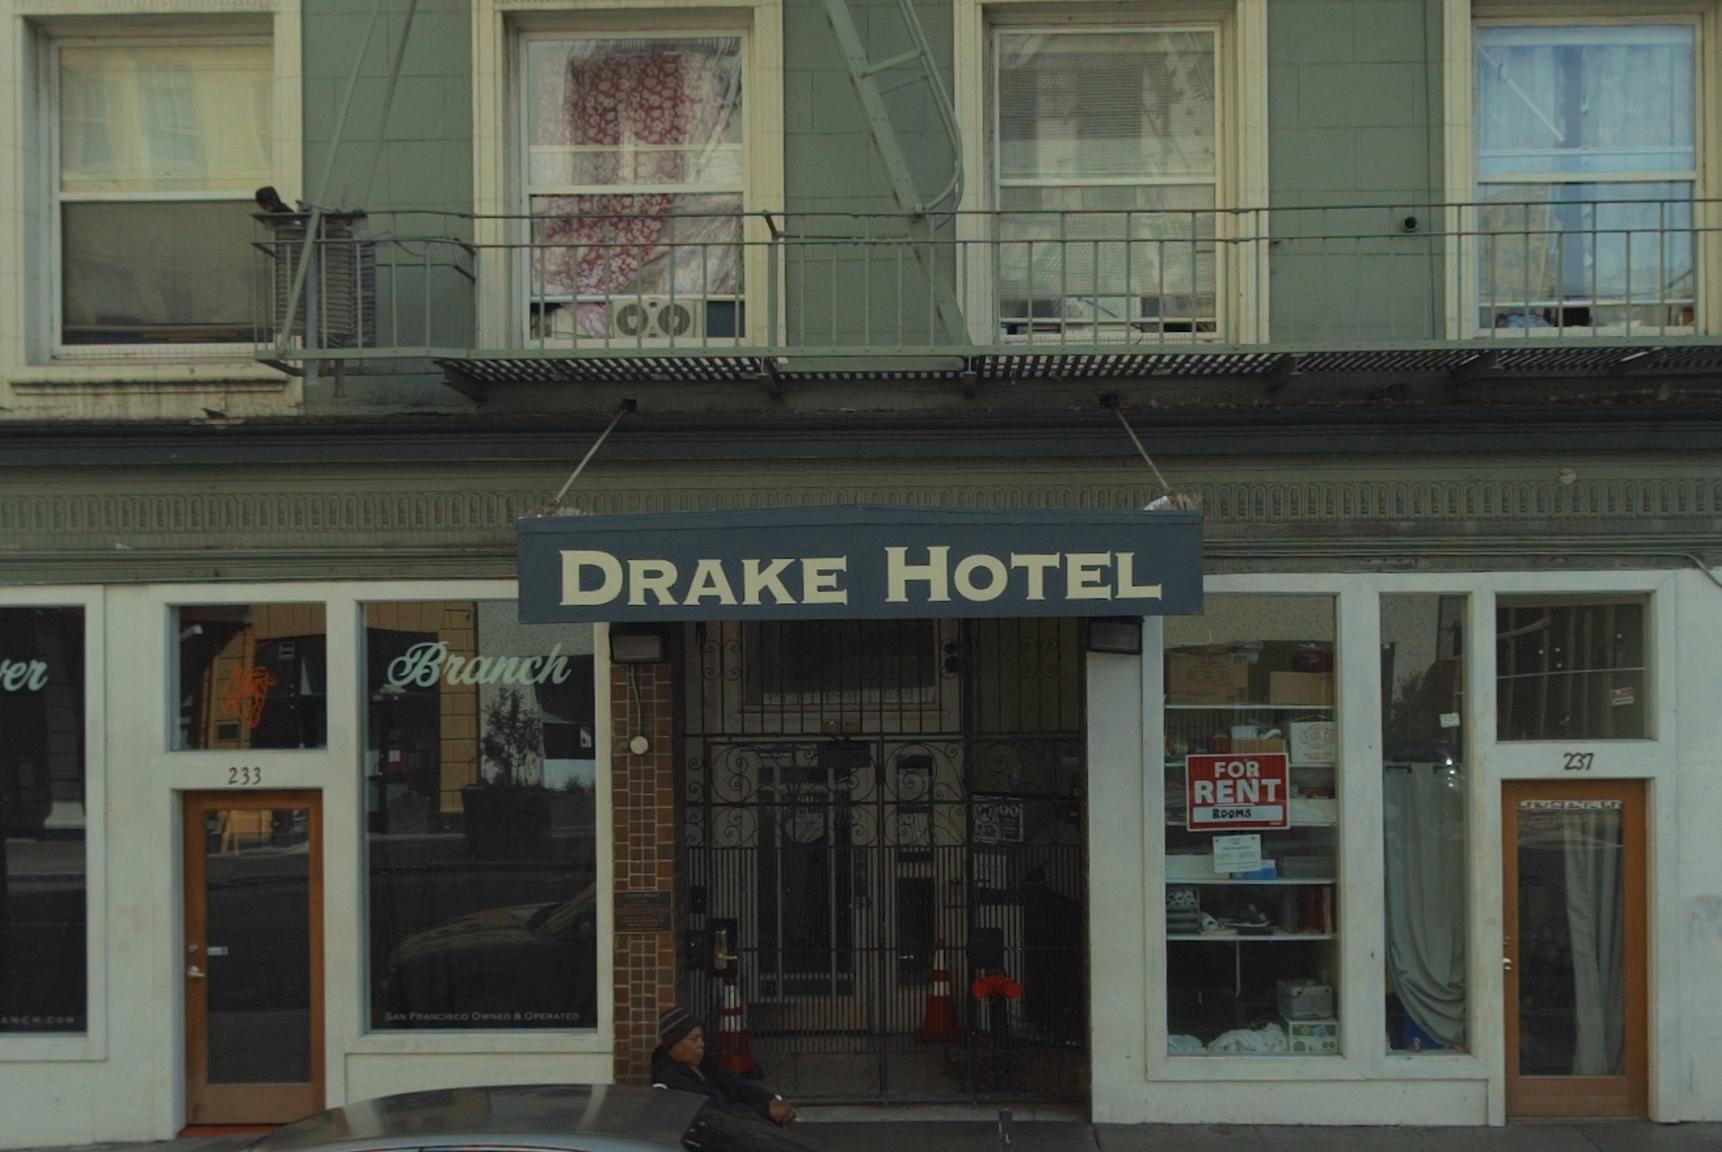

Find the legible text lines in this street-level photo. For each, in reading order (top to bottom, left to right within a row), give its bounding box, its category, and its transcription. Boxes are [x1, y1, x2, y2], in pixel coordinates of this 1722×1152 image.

[555, 543, 1166, 610] BusinessName: DRAKE HOTEL
[0, 656, 52, 695] None: er'
[396, 639, 576, 690] None: Branch
[225, 763, 264, 788] StreetNumber: 233
[1213, 758, 1262, 781] None: FOR
[1560, 750, 1598, 774] StreetNumber: 237
[1192, 776, 1284, 807] None: RENT
[1210, 806, 1254, 821] None: *OOMS
[382, 1009, 582, 1023] None: SAN FRANC**CO *OWNED * OPERATED